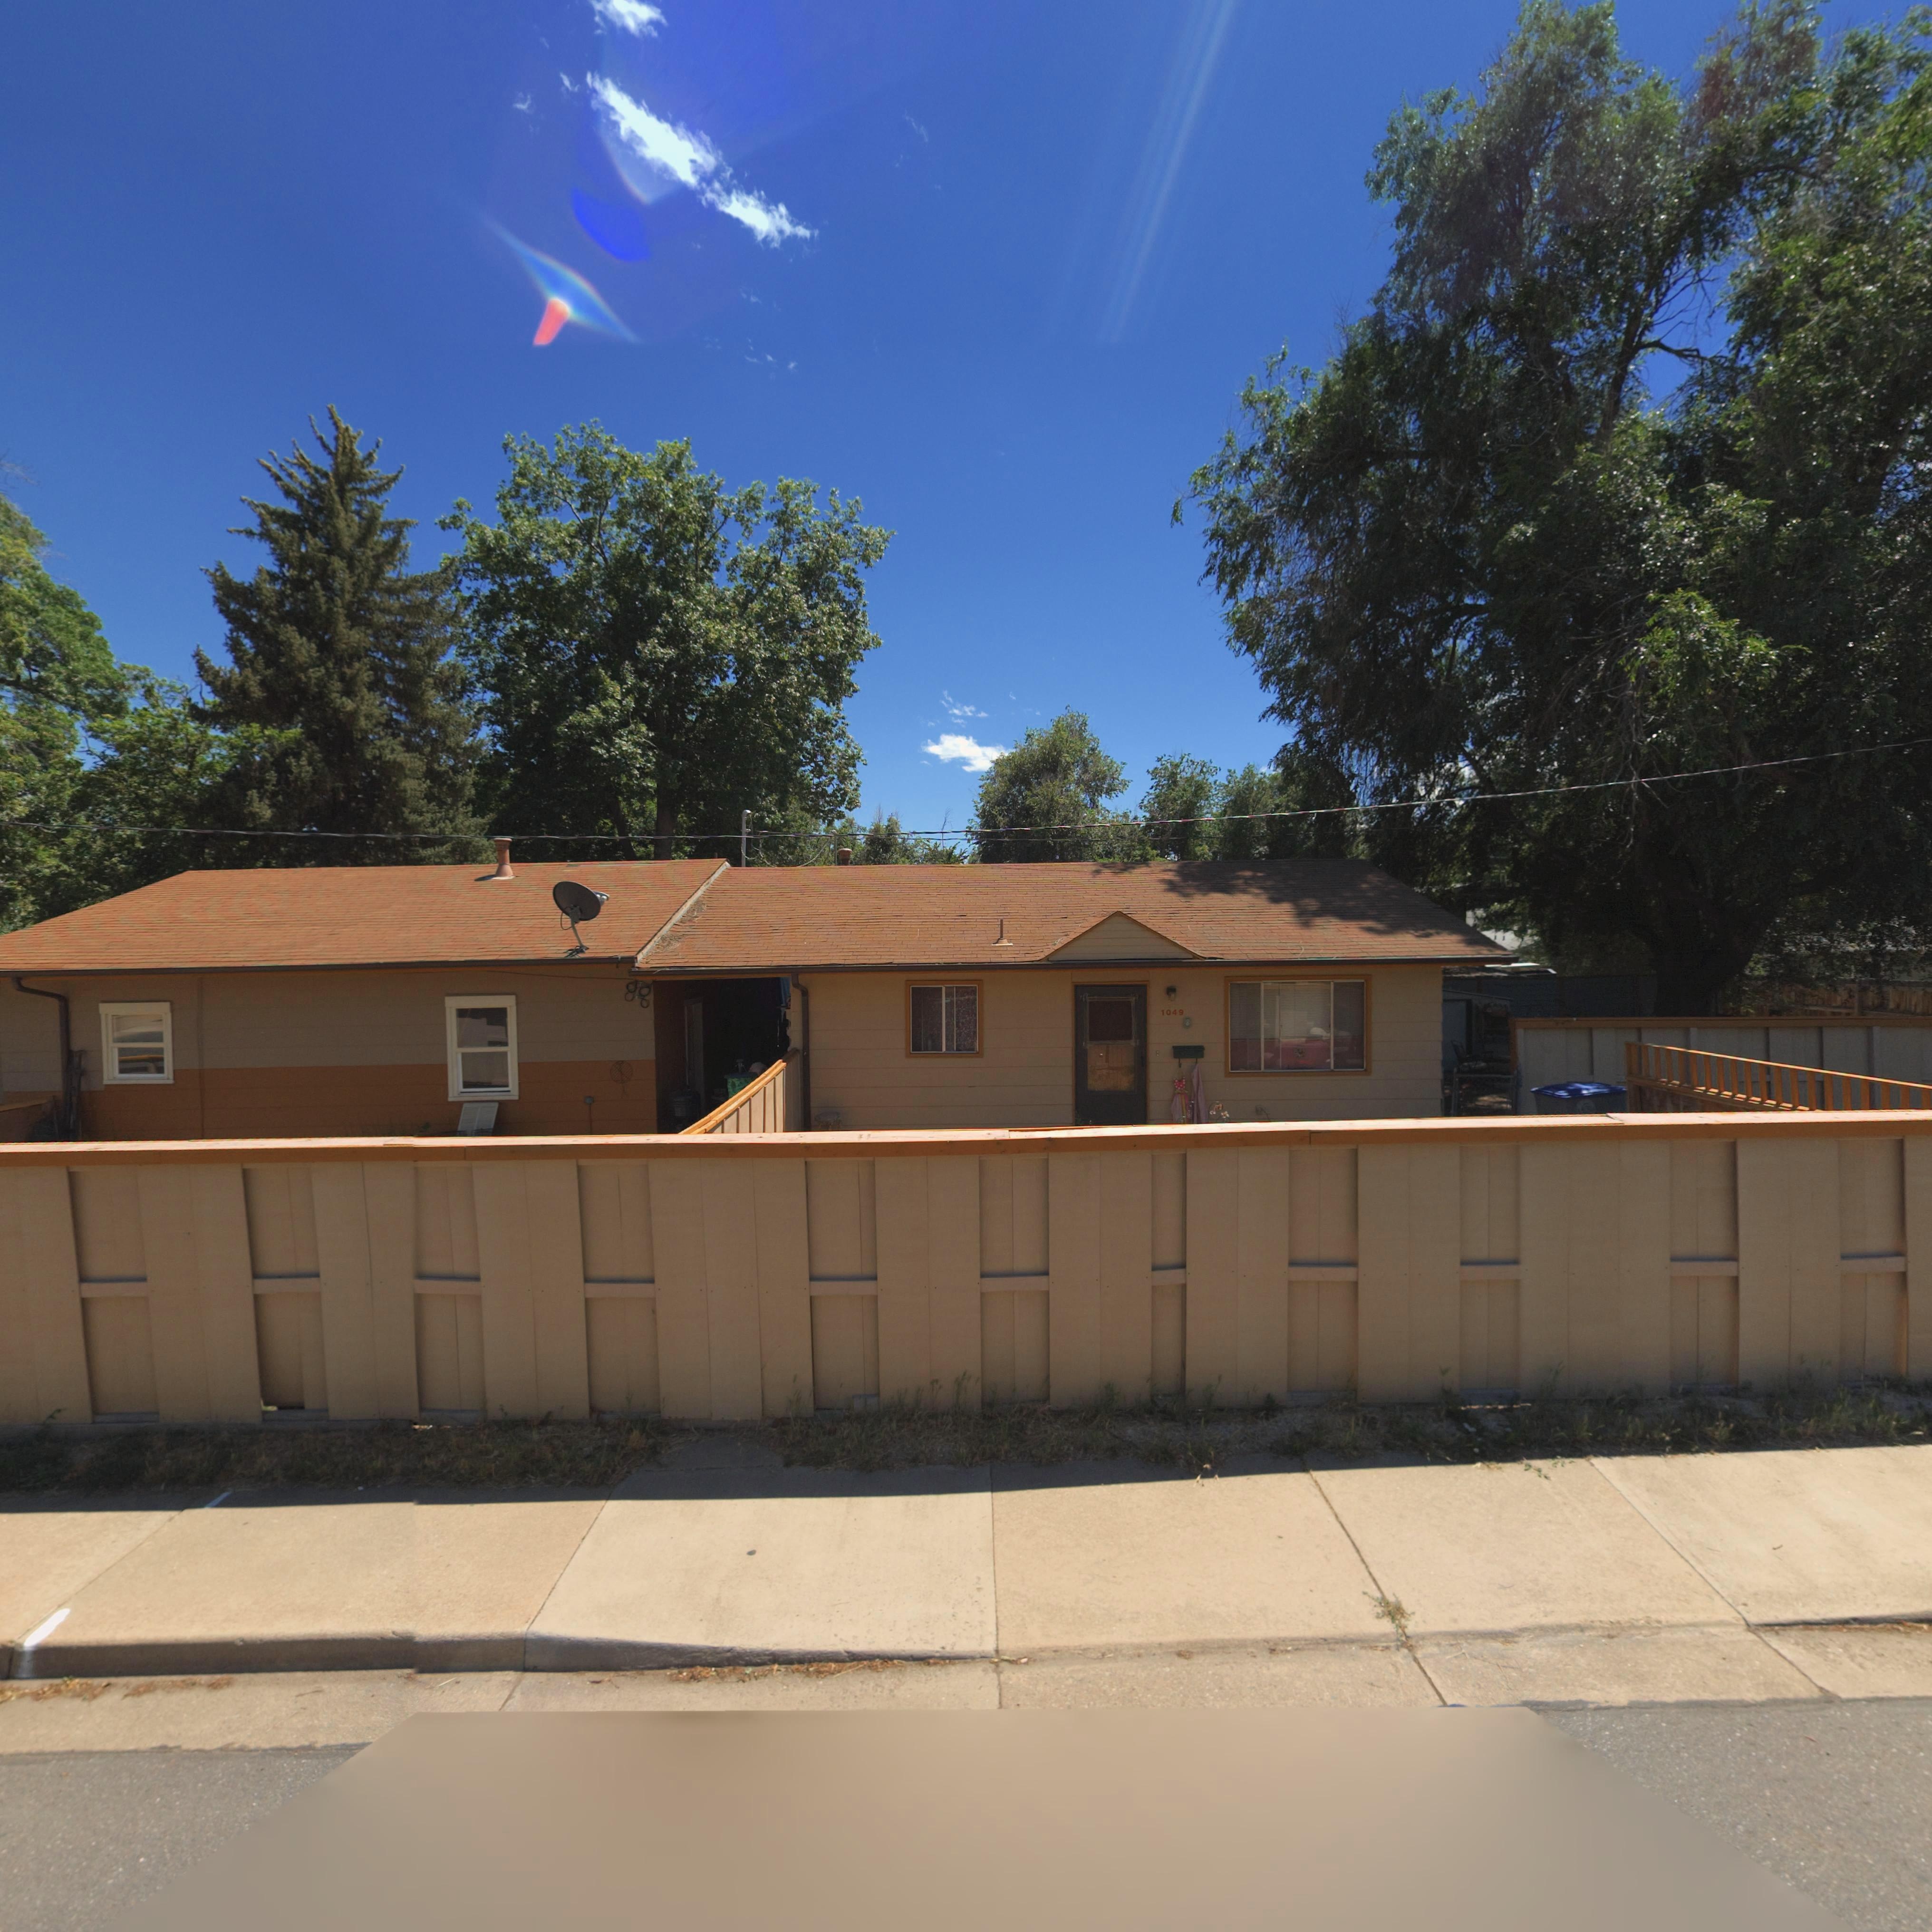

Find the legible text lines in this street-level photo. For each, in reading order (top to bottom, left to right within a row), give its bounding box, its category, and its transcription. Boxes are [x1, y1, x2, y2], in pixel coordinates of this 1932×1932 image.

[1160, 1009, 1184, 1015] StreetNumber: 1049